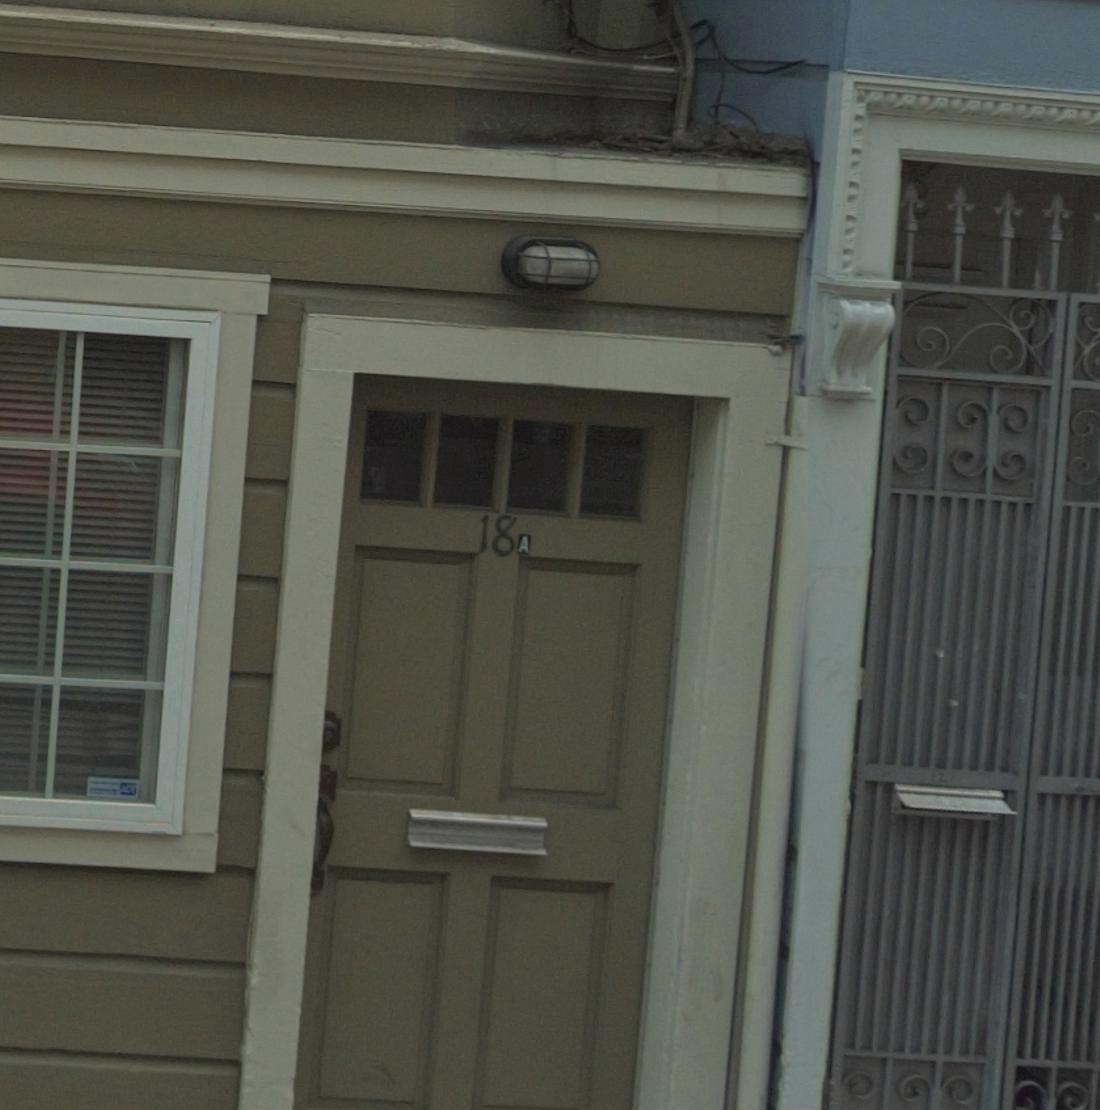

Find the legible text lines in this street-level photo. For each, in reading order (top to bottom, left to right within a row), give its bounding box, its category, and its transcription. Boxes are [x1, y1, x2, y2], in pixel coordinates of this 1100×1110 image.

[473, 507, 537, 561] StreetNumber: 18A